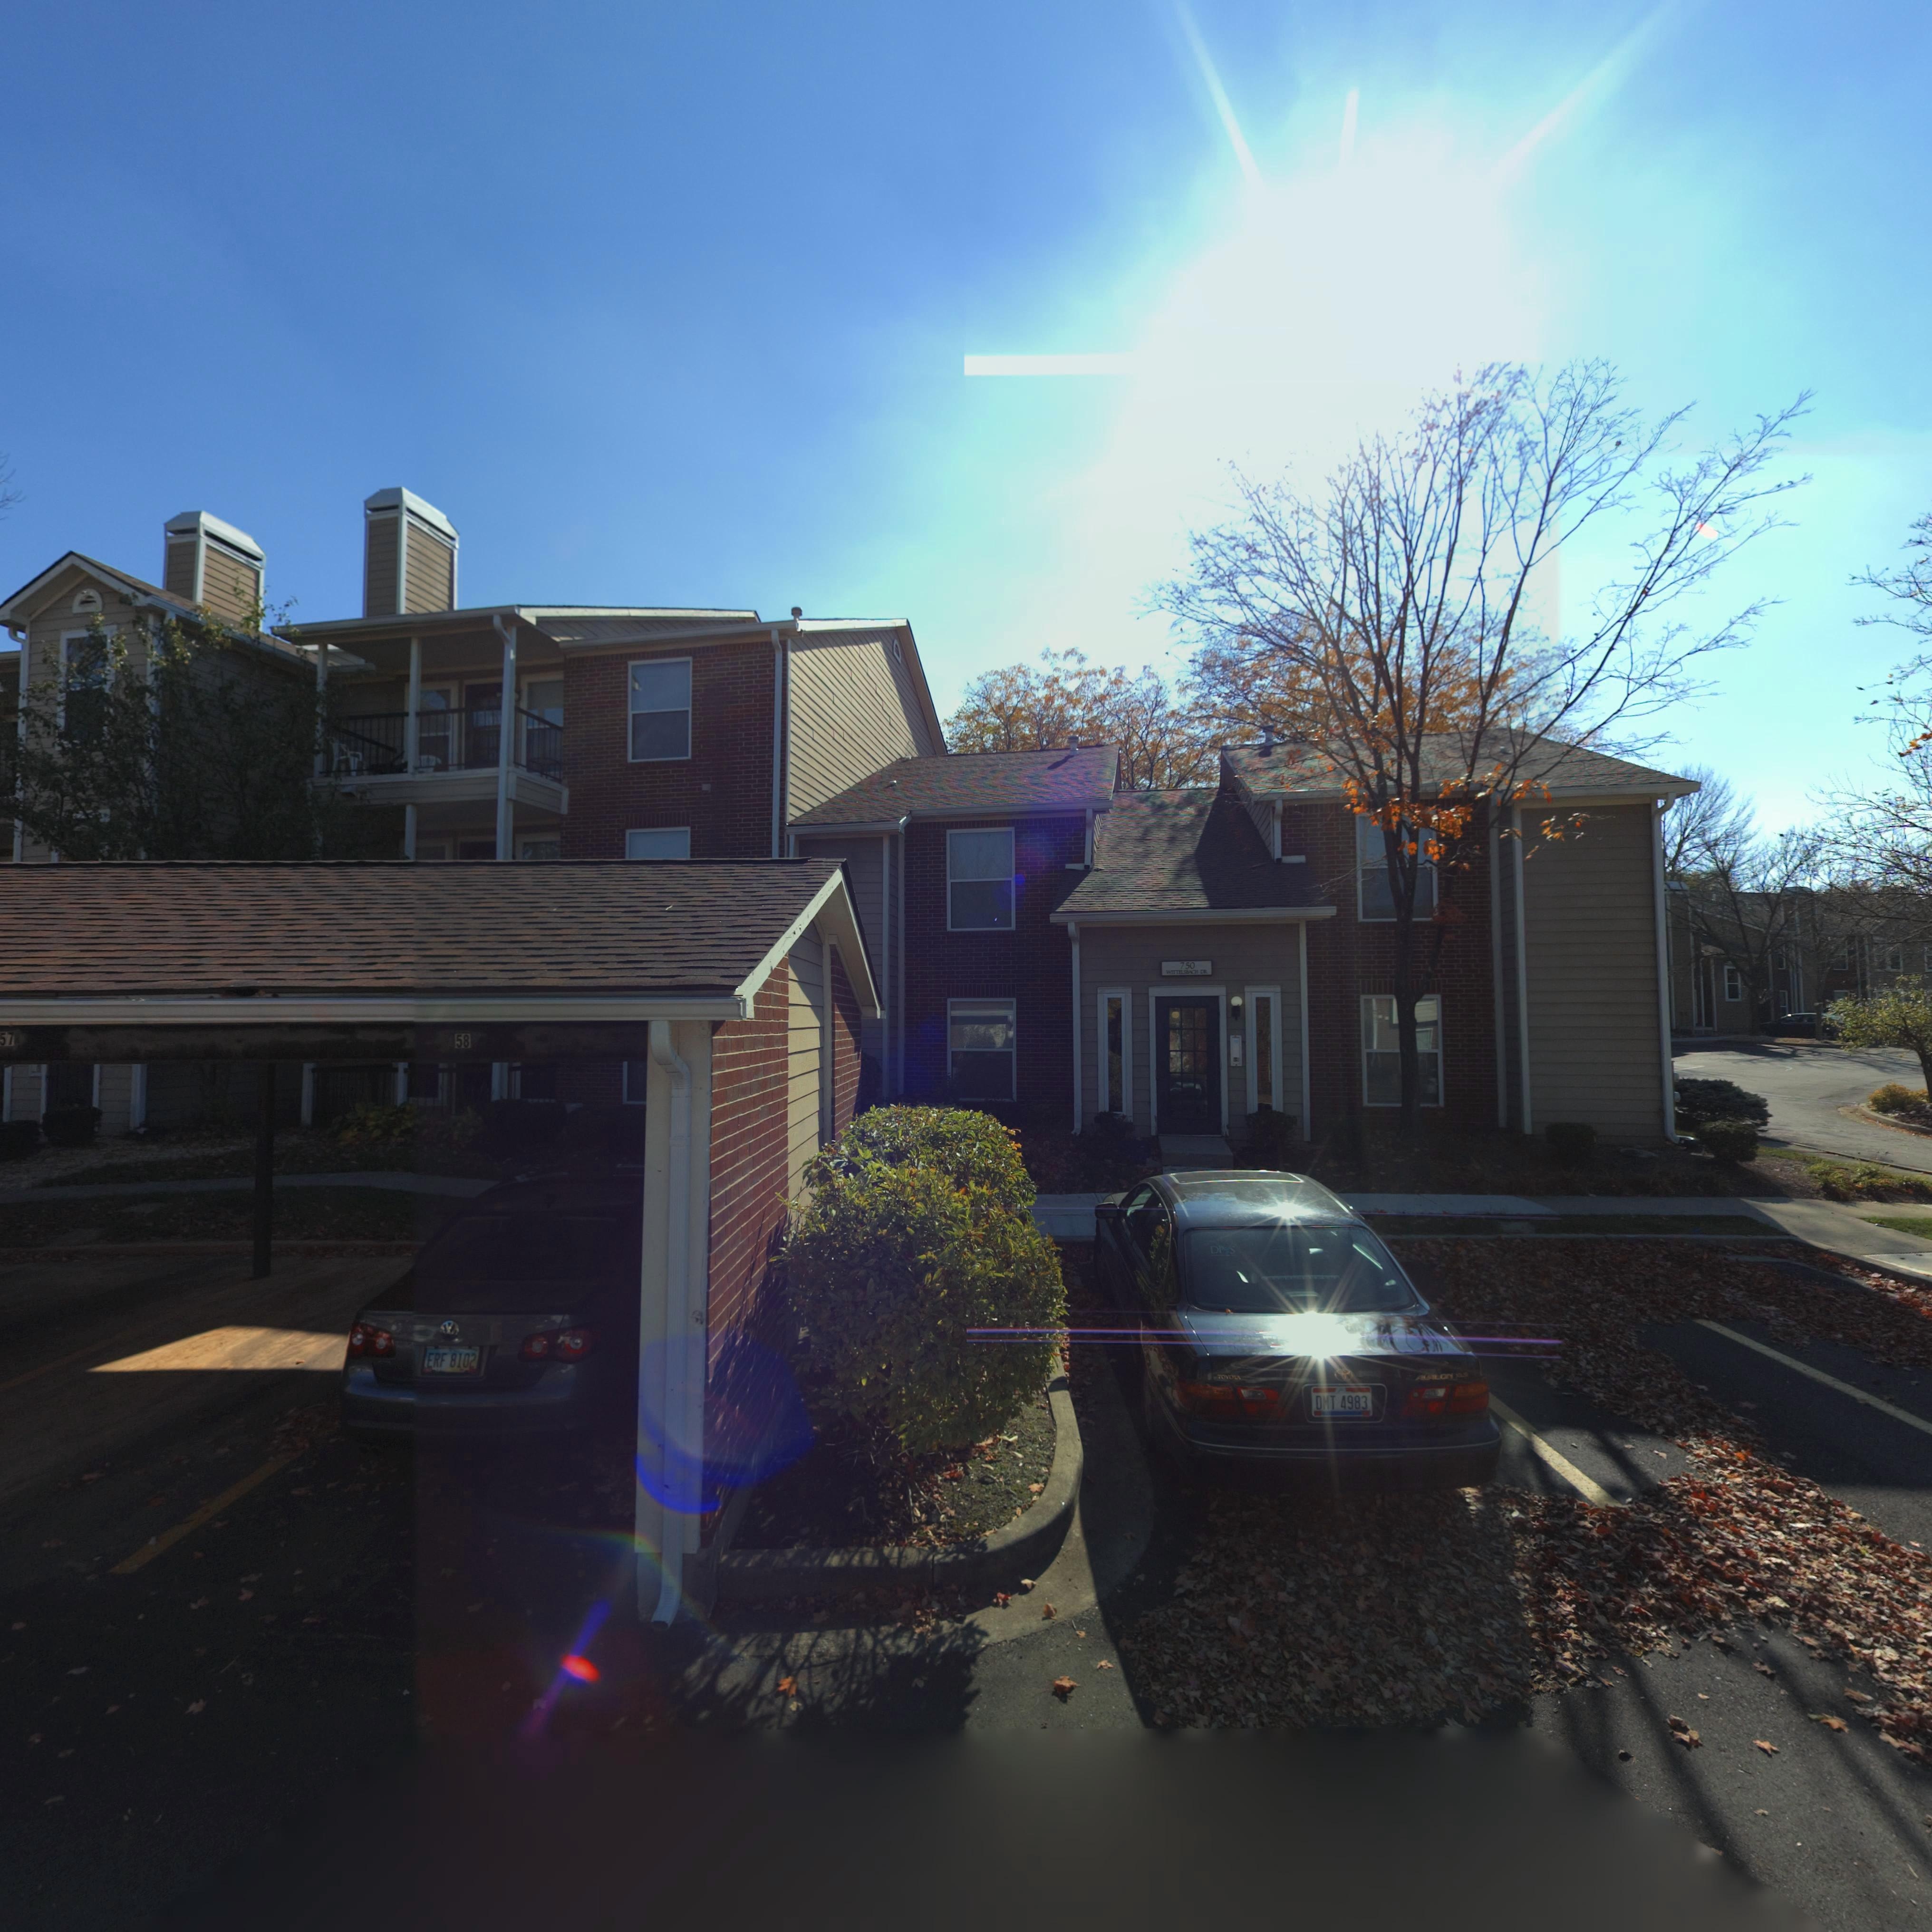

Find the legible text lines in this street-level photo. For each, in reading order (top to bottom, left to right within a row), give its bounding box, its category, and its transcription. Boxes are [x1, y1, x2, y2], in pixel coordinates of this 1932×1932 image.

[1179, 961, 1196, 970] StreetNumber: 750
[6, 1030, 15, 1046] StreetNumber: 7
[454, 1033, 471, 1049] StreetNumber: 58
[424, 1350, 479, 1370] None: ERF 8102
[1314, 1393, 1370, 1412] None: DMT 4983